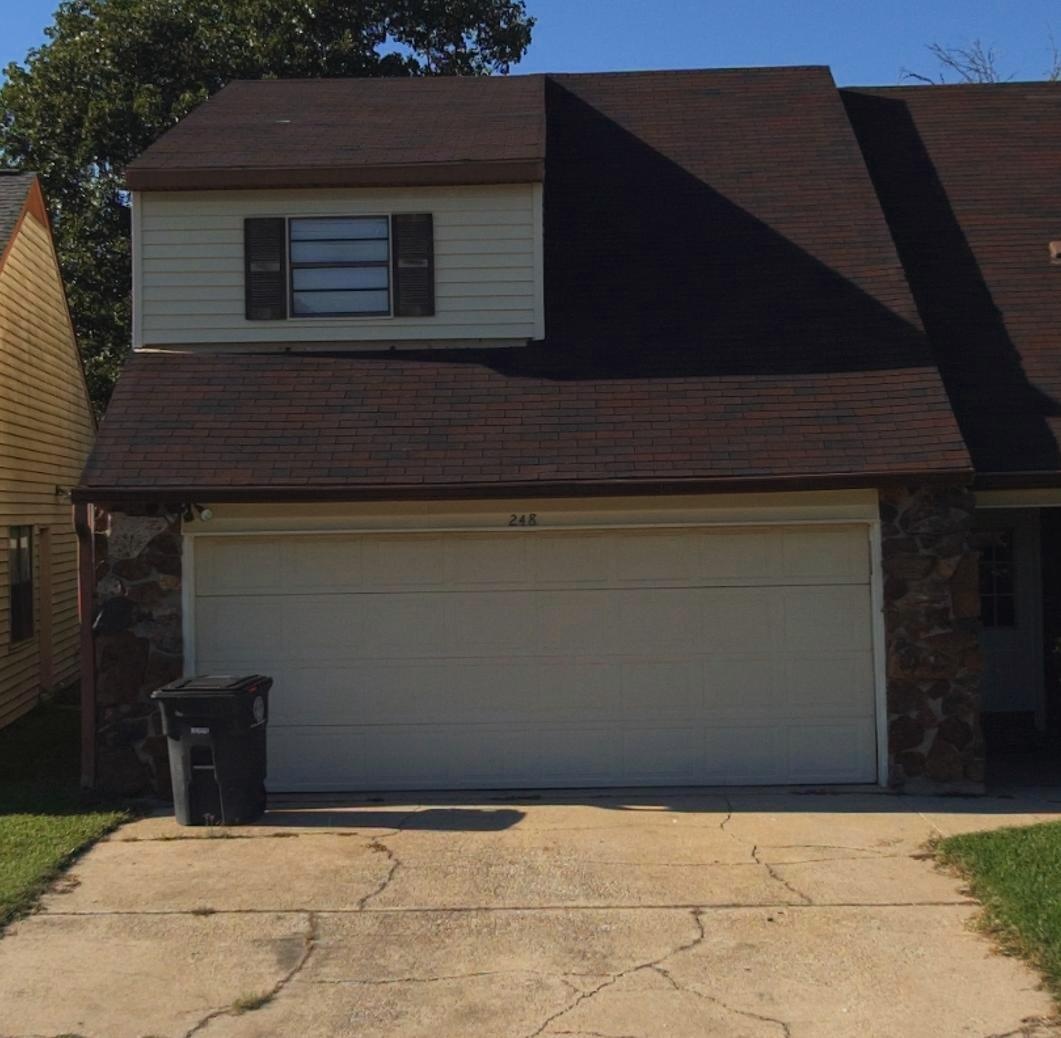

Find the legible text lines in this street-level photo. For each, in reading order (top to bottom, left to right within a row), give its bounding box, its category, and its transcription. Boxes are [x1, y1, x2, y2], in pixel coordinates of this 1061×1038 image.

[507, 513, 538, 527] StreetNumber: 248